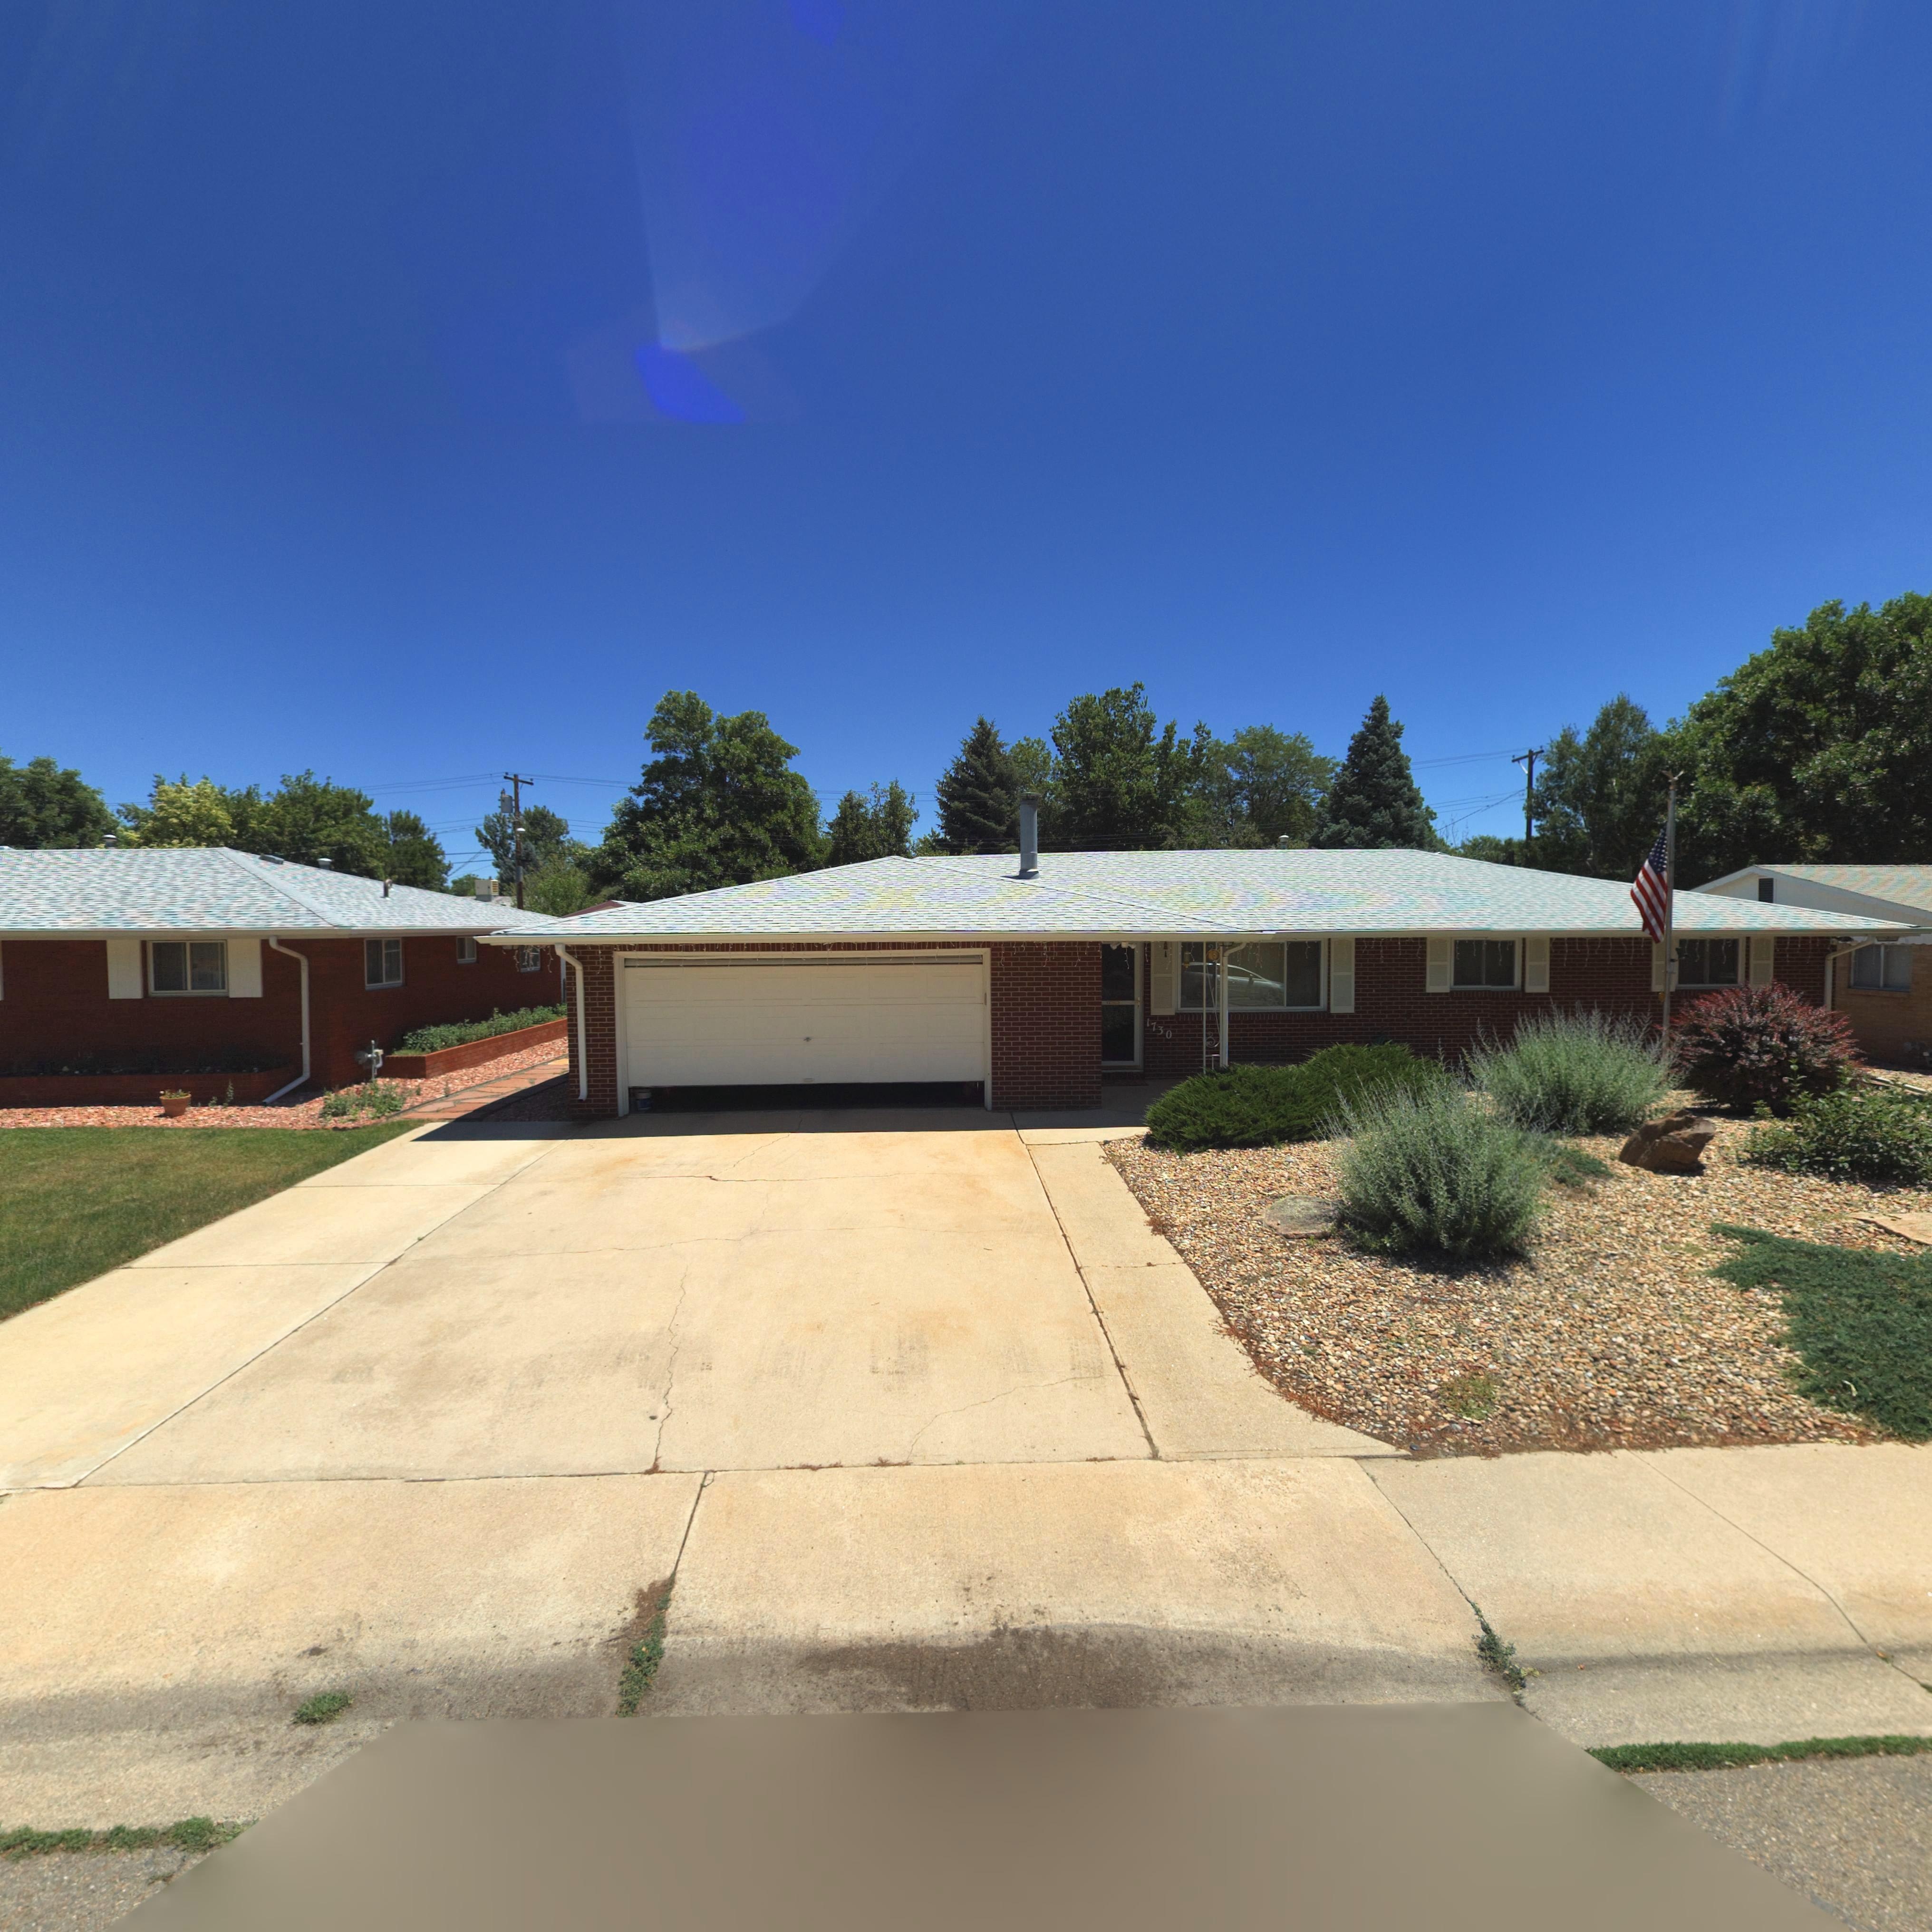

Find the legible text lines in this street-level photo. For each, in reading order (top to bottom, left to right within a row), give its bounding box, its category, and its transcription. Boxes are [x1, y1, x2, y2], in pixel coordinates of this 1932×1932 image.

[1146, 1017, 1172, 1040] StreetNumber: 1730